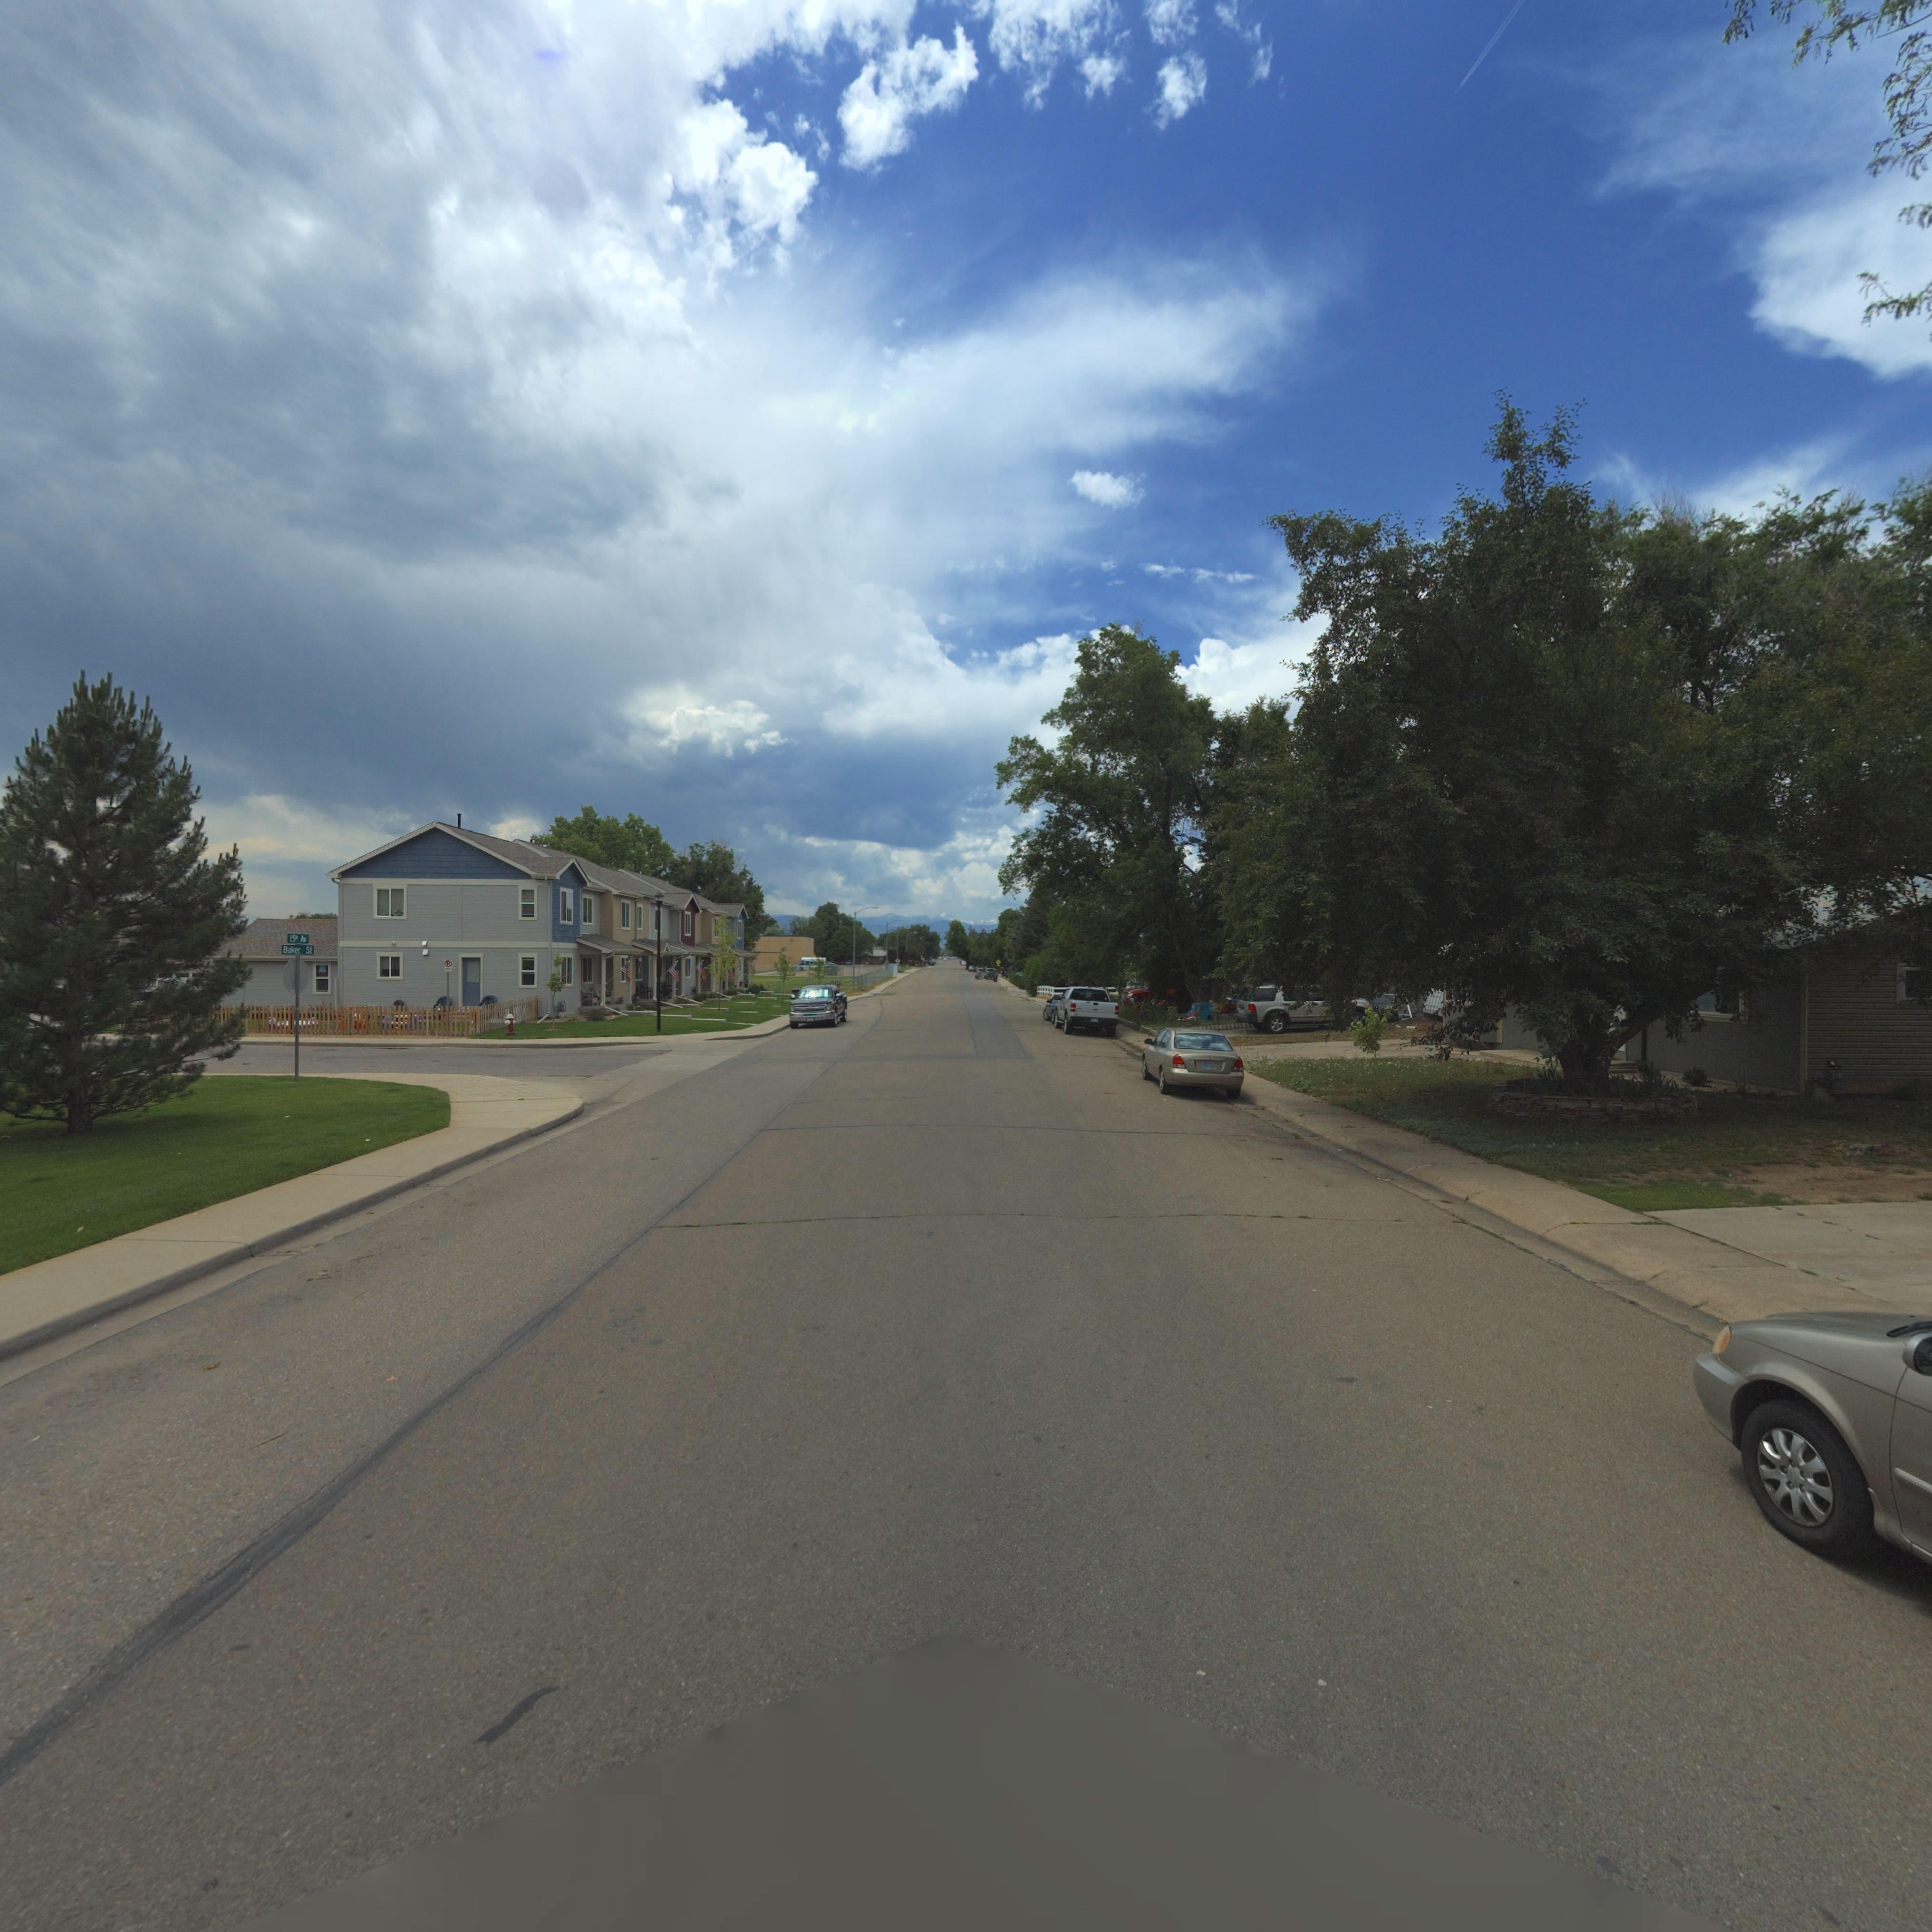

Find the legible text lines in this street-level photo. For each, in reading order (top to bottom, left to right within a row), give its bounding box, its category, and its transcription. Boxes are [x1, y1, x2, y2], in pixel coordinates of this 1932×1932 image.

[290, 934, 307, 943] StreetName: 15th Av
[283, 945, 313, 954] StreetName: Baker St